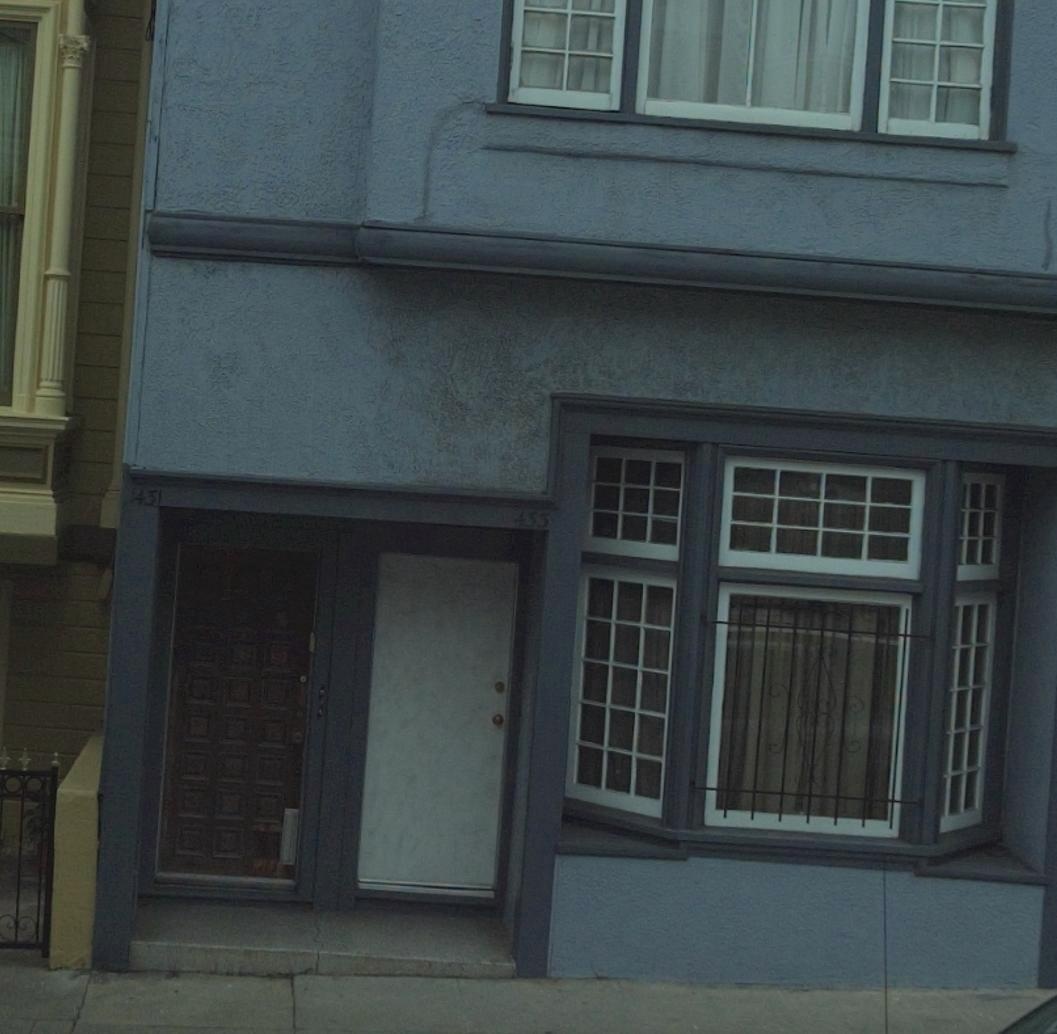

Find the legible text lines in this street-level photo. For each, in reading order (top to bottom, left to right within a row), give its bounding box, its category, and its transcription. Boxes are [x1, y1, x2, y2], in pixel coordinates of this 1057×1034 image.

[133, 489, 162, 506] None: 431
[511, 509, 553, 529] StreetNumber: 433